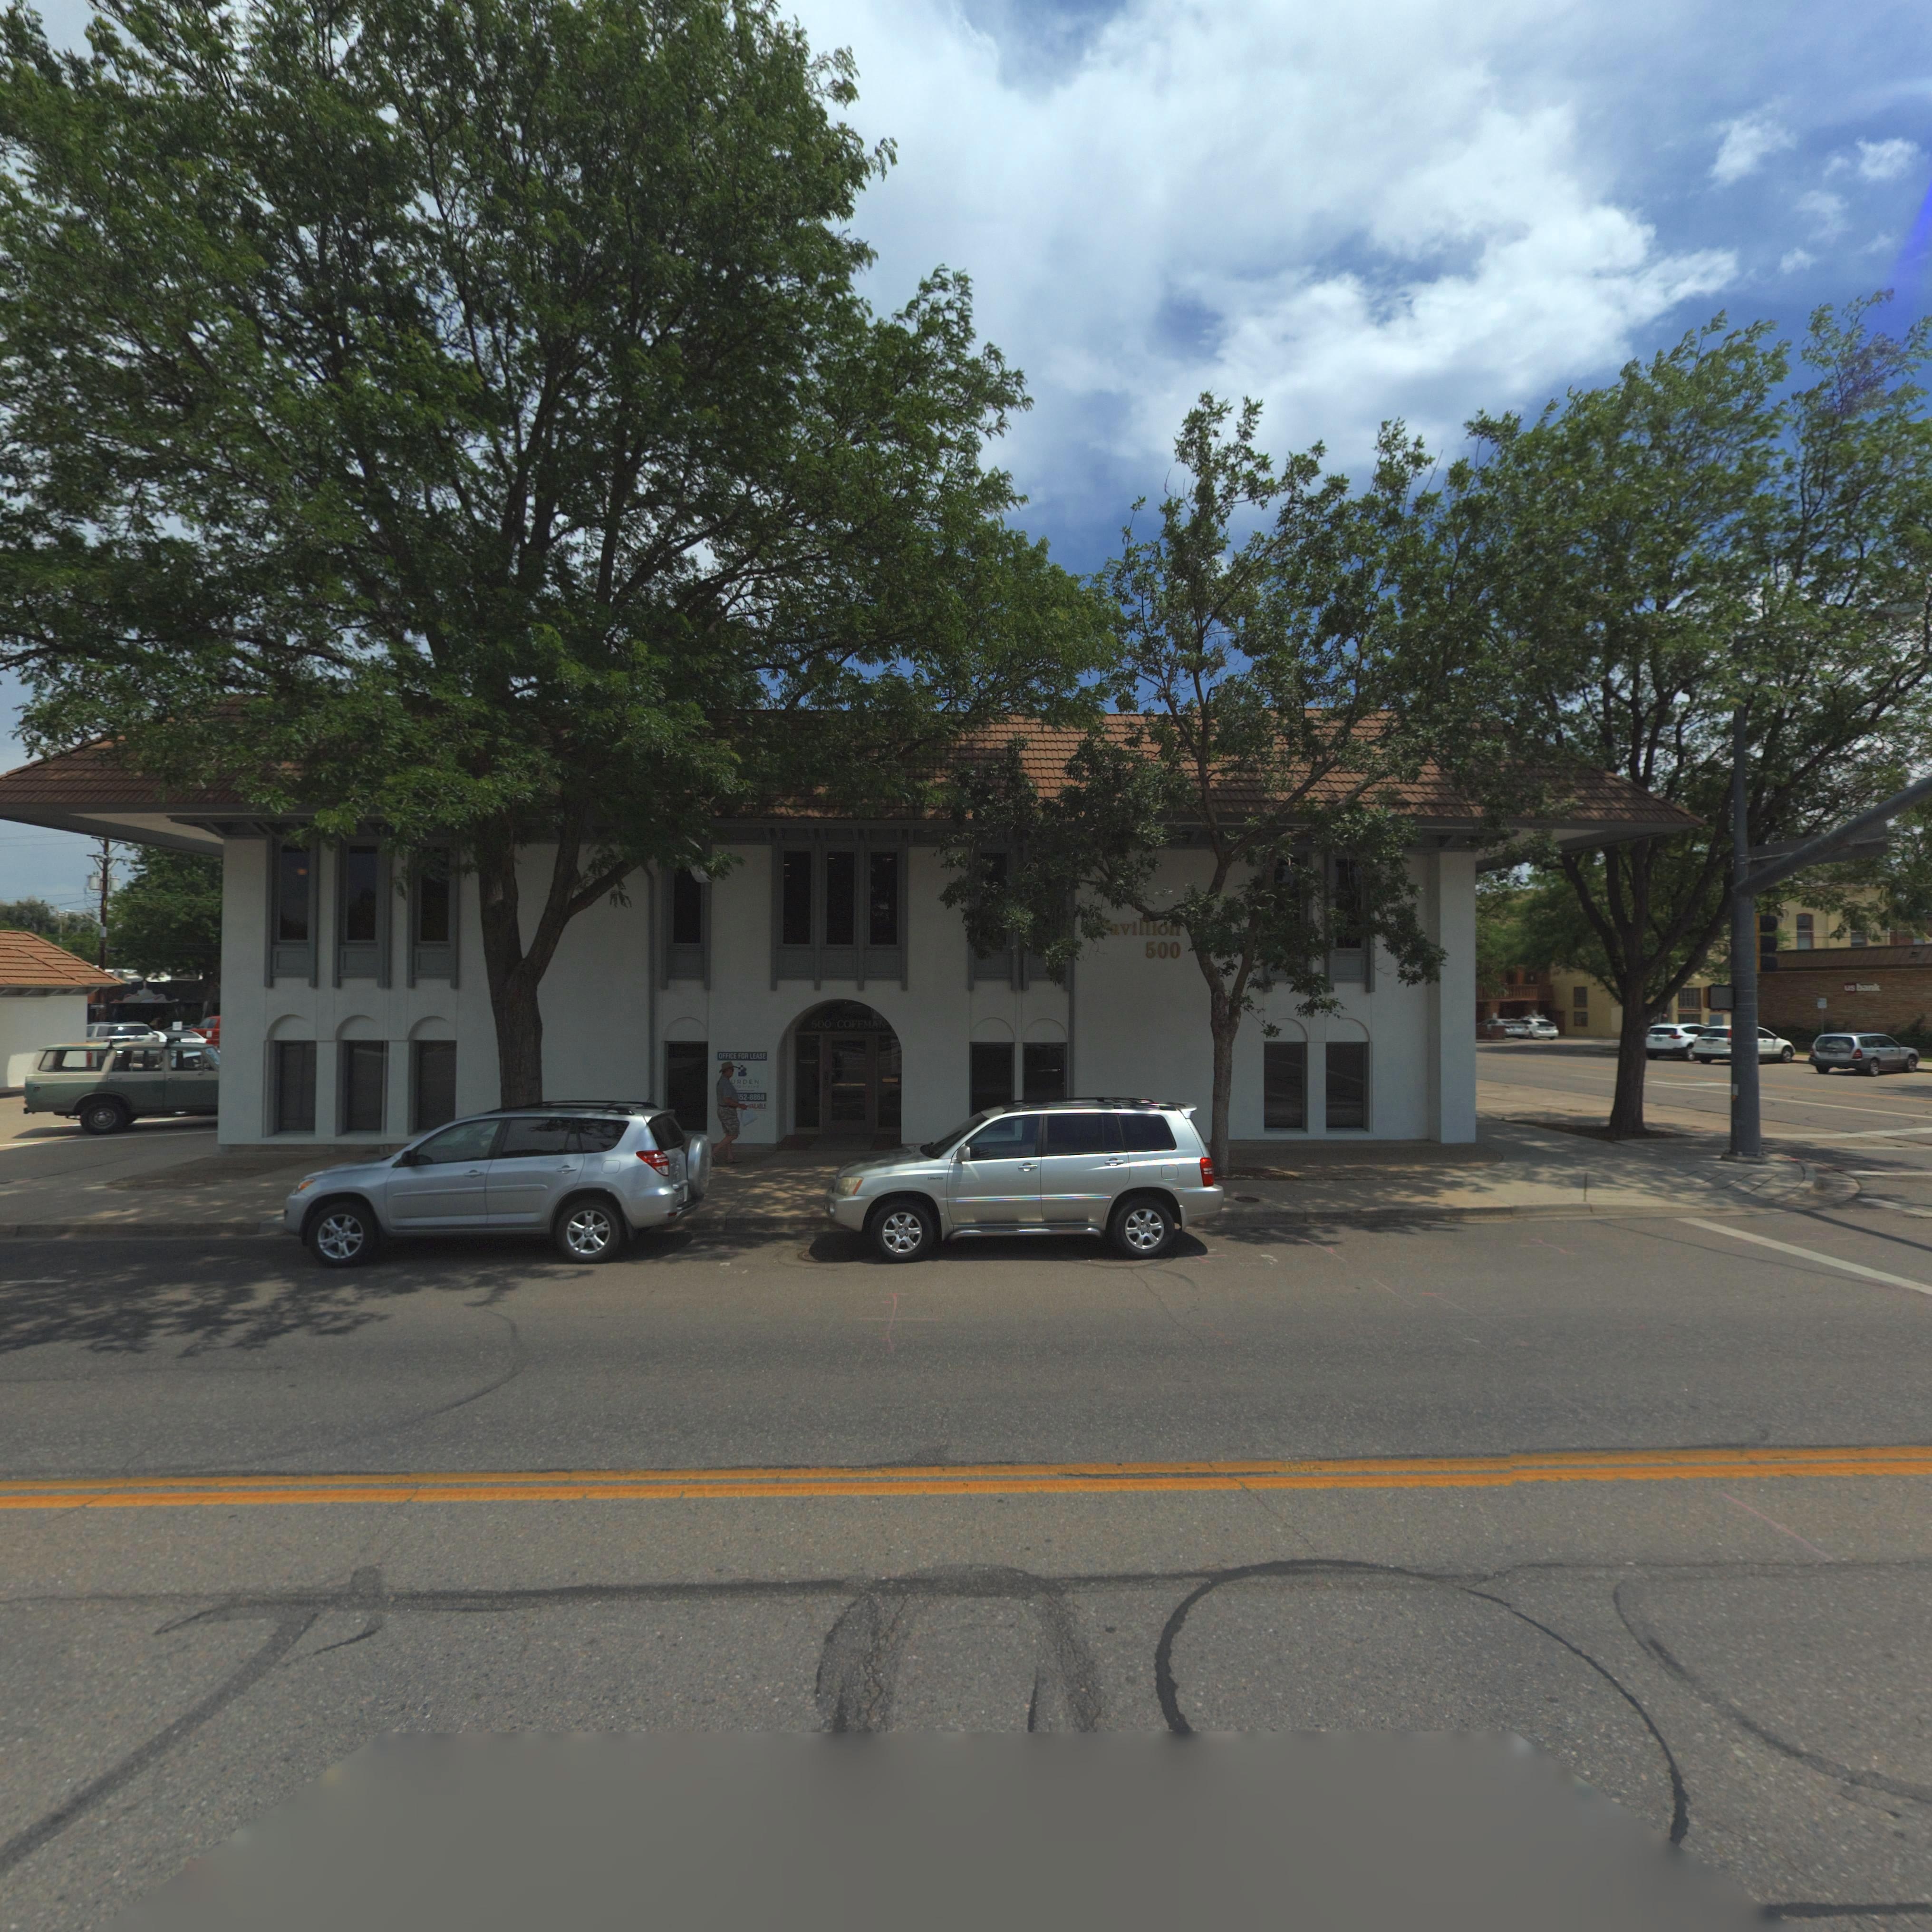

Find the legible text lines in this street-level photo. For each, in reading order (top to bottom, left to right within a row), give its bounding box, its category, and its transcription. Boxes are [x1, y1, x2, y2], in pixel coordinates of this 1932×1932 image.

[1146, 941, 1180, 959] StreetNumber: 500
[1845, 983, 1881, 991] BusinessName: usbank
[811, 1020, 831, 1028] StreetNumber: 500
[836, 1020, 886, 1028] StreetName: COFFMAN